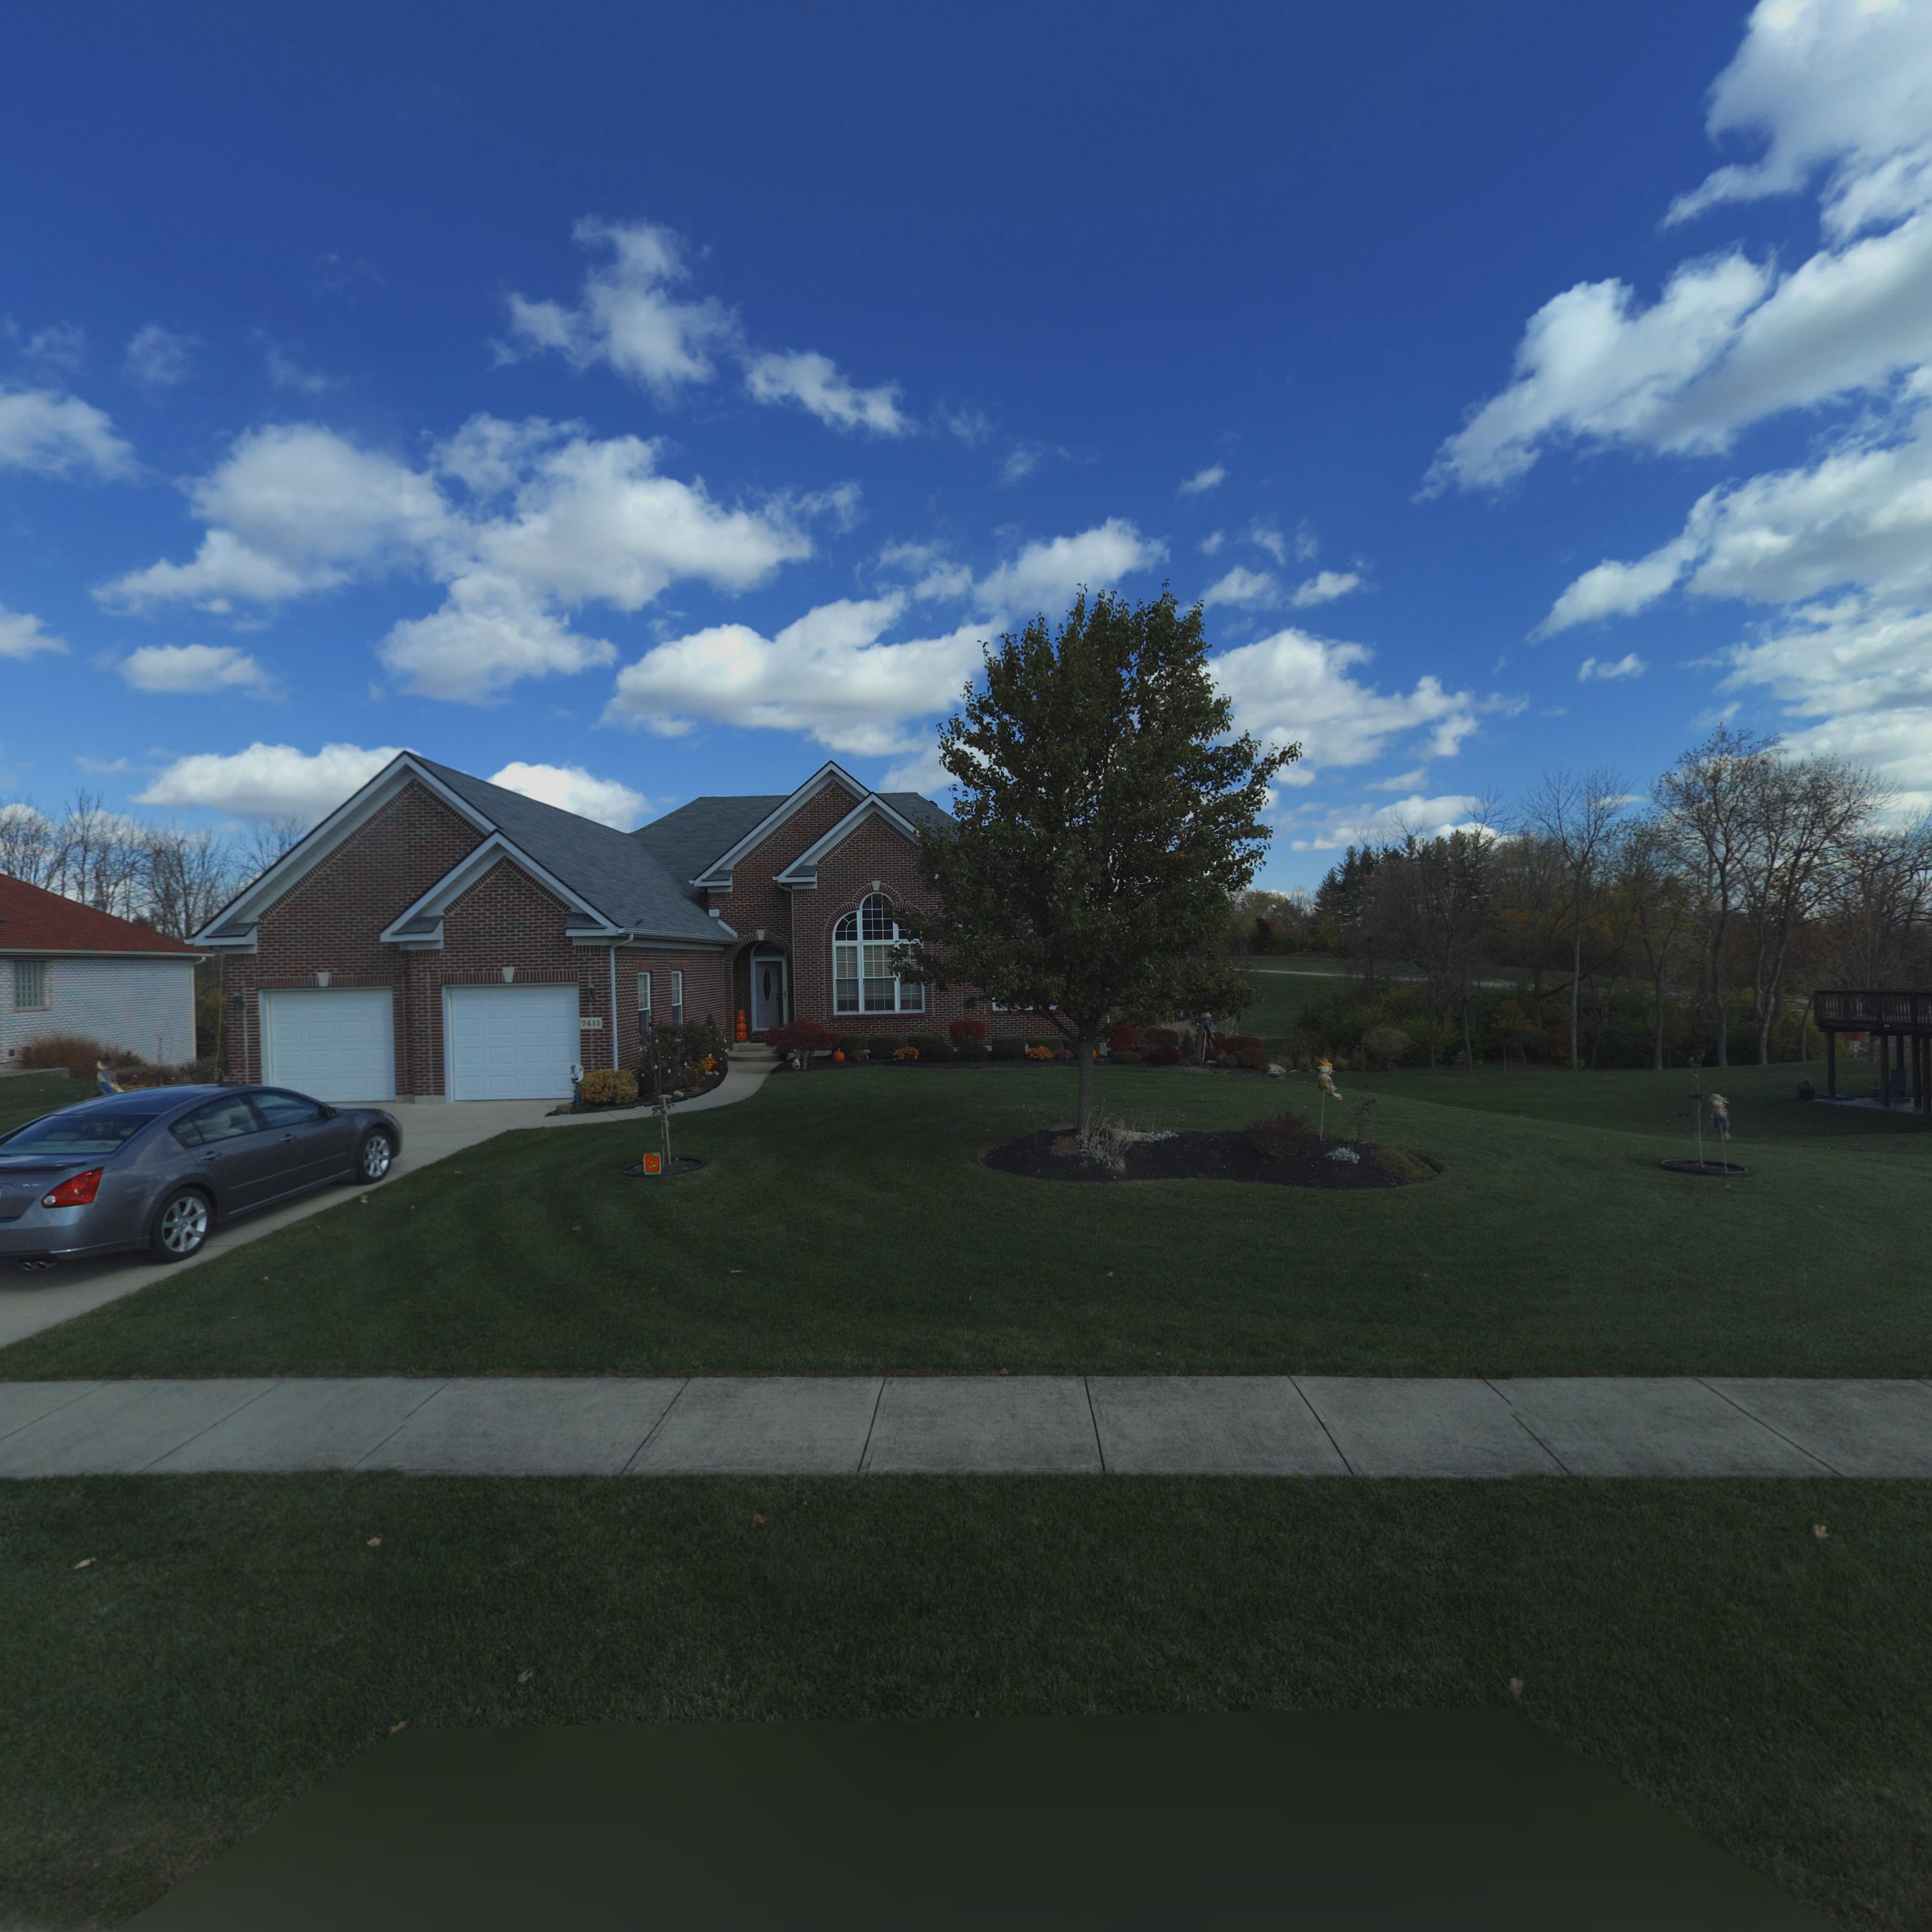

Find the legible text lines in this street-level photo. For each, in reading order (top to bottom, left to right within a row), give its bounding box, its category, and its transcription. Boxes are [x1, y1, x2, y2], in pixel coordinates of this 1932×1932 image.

[580, 1020, 601, 1027] StreetNumber: 7411